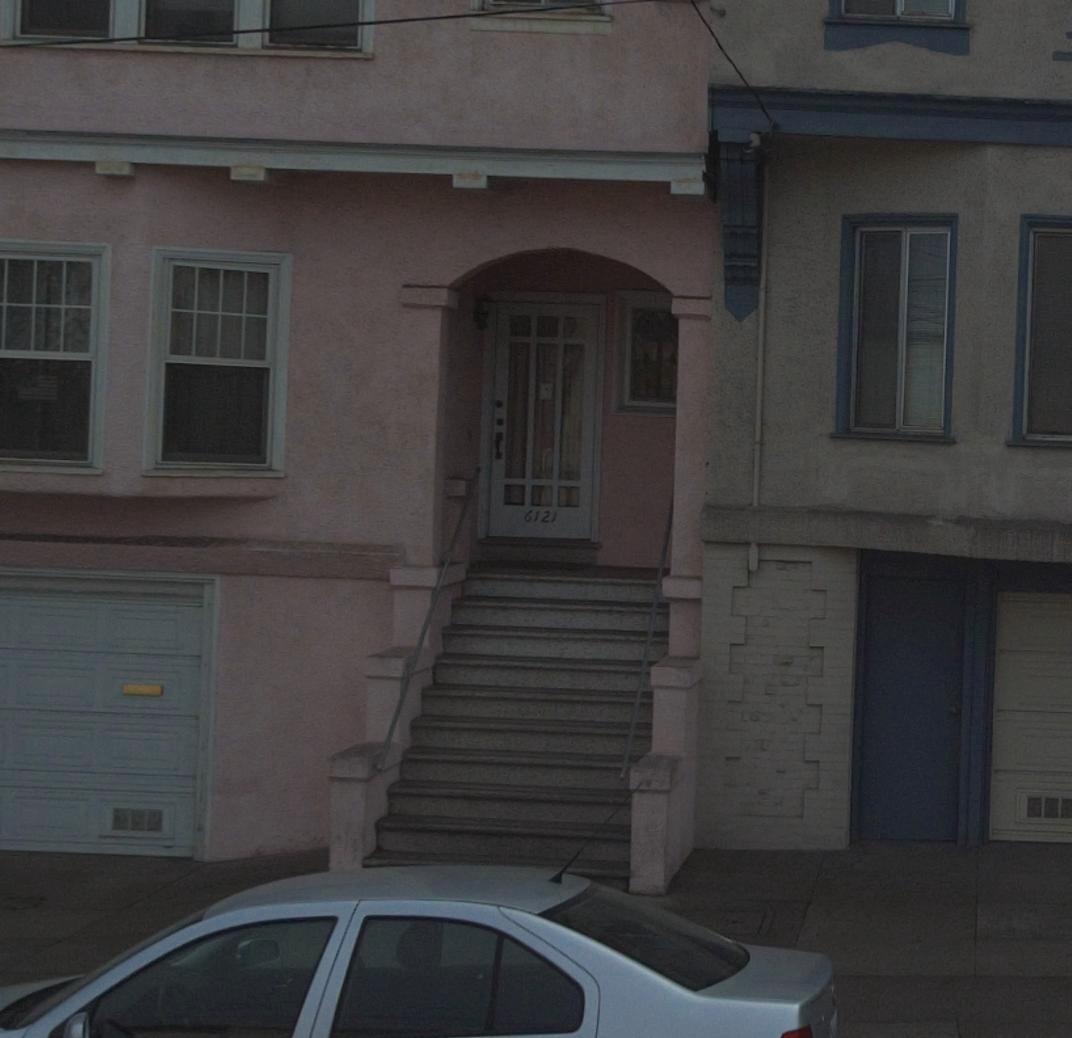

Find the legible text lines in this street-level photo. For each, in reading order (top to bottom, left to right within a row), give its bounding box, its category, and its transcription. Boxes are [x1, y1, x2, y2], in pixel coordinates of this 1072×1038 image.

[523, 509, 560, 524] StreetNumber: 6121